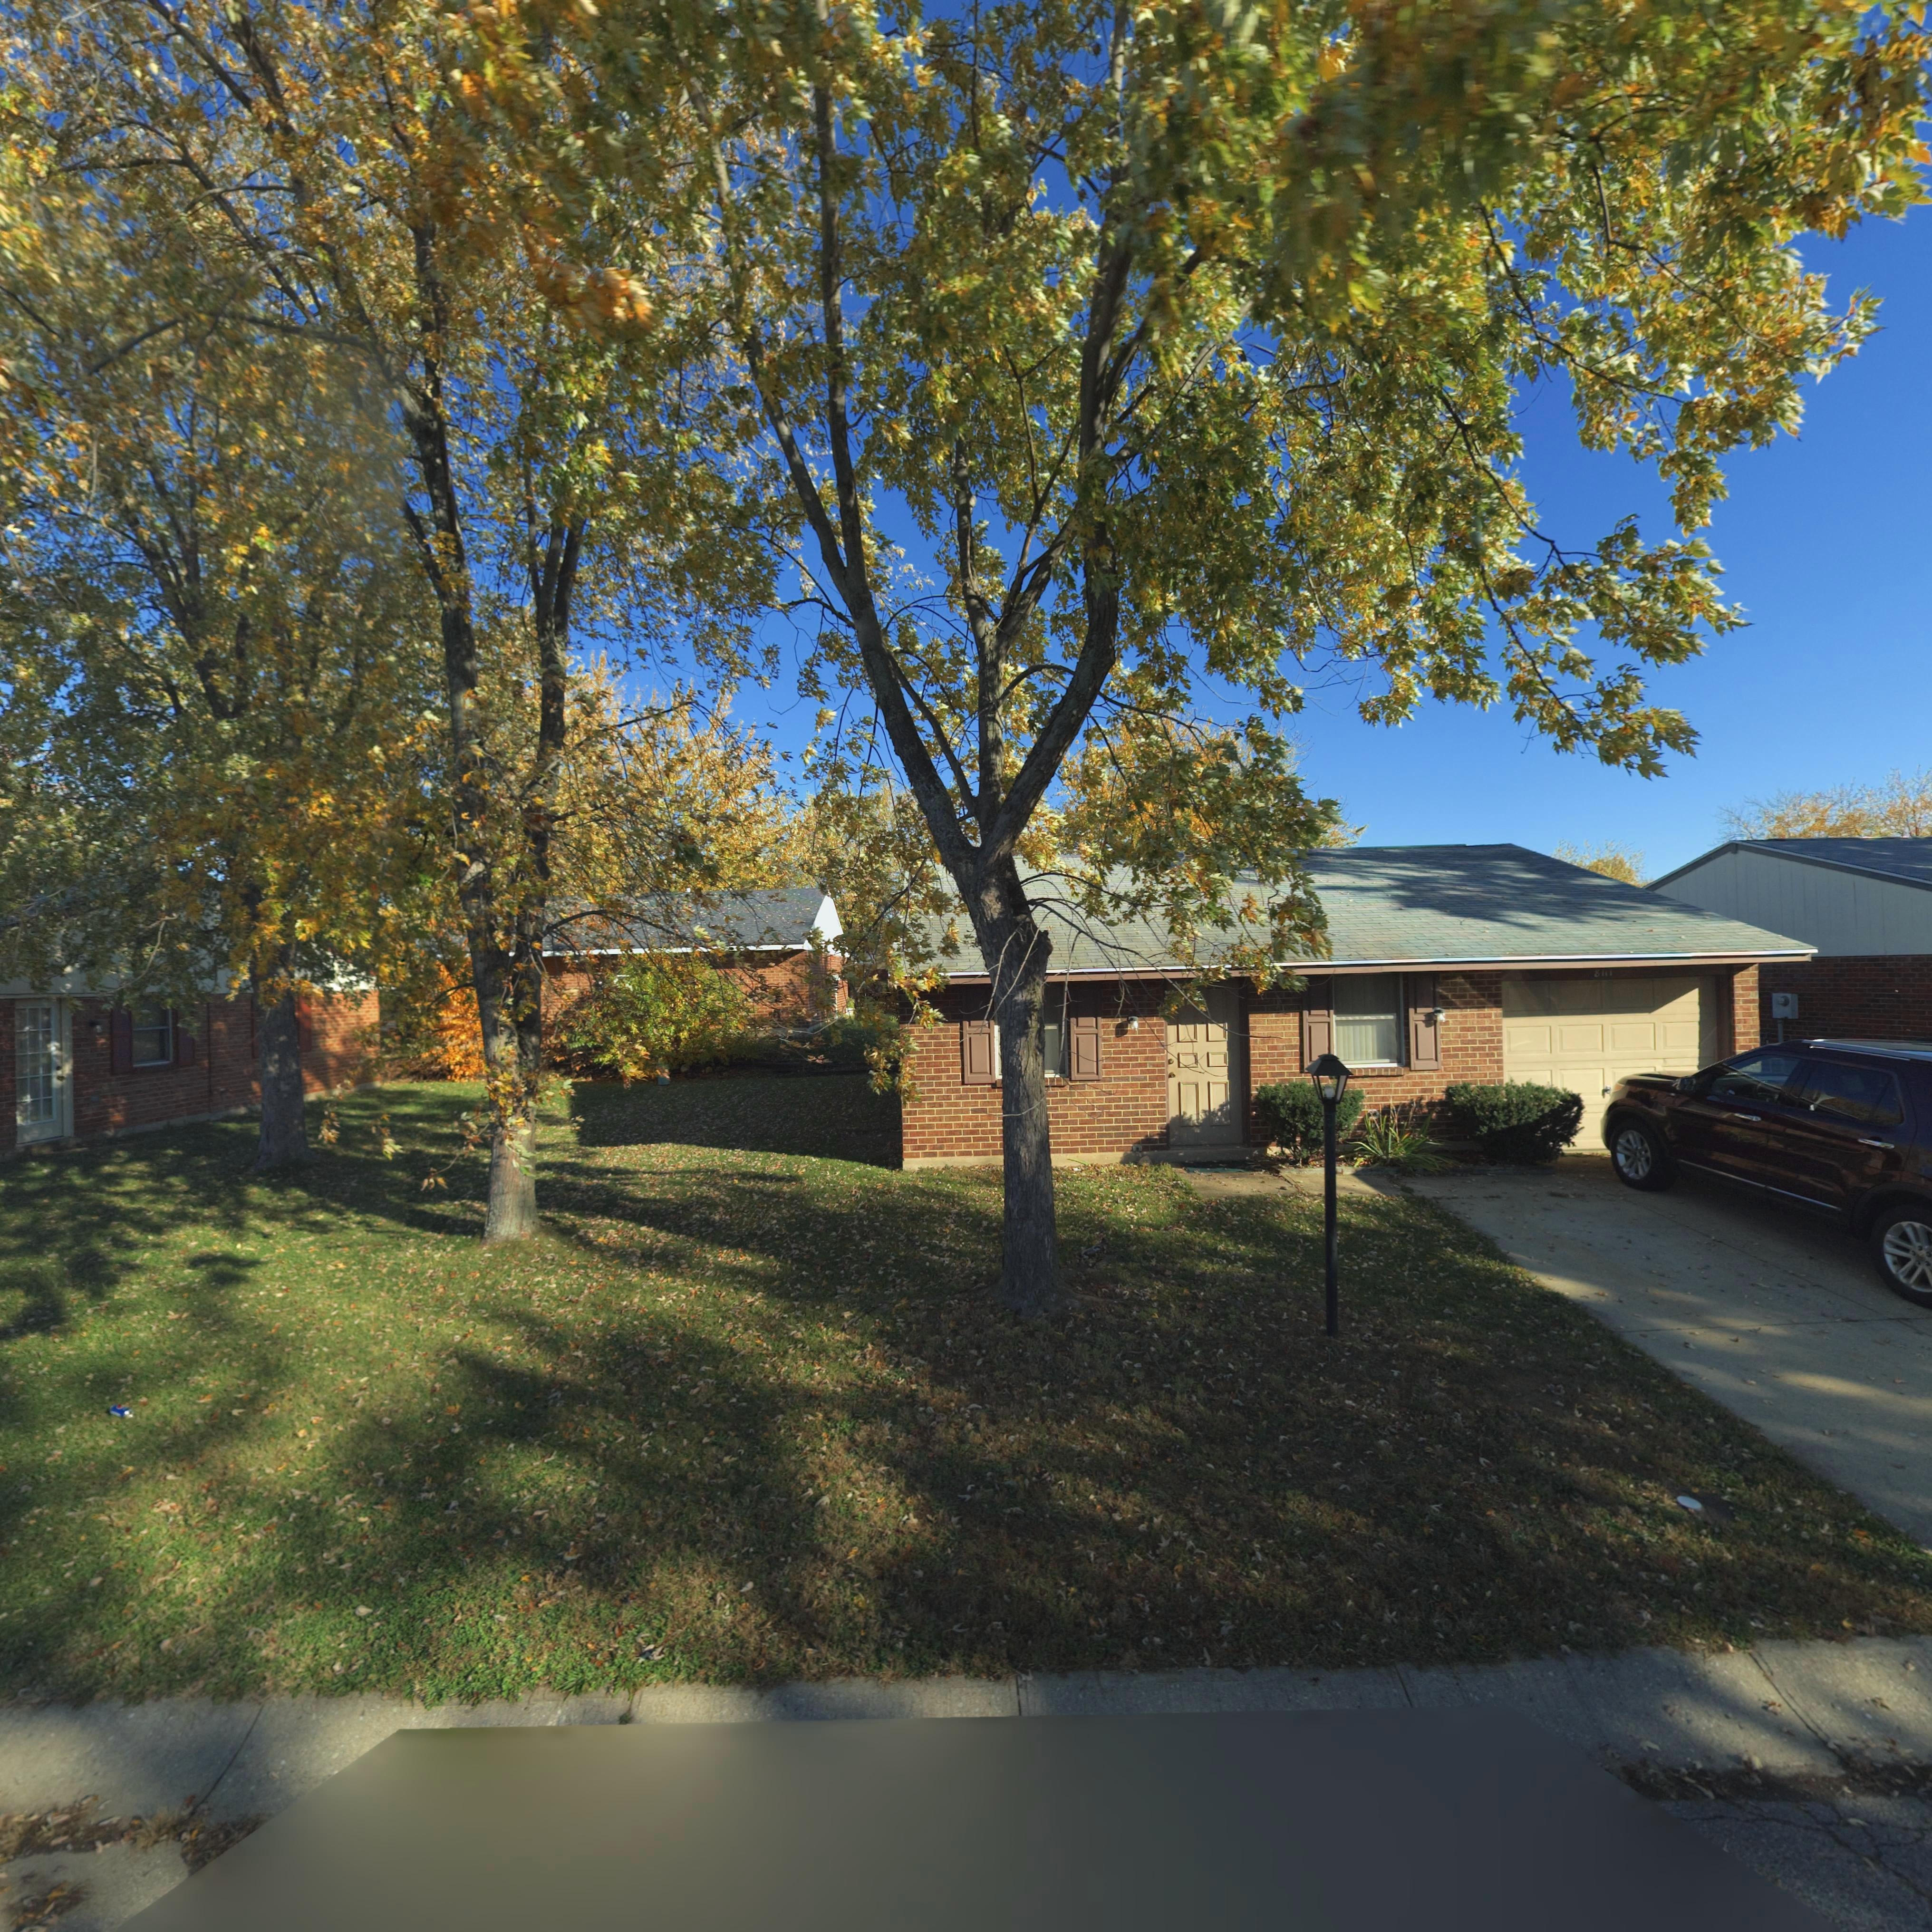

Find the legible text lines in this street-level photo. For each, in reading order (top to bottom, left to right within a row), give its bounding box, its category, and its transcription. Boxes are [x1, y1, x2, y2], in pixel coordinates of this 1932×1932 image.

[1593, 967, 1613, 978] StreetNumber: 81*1